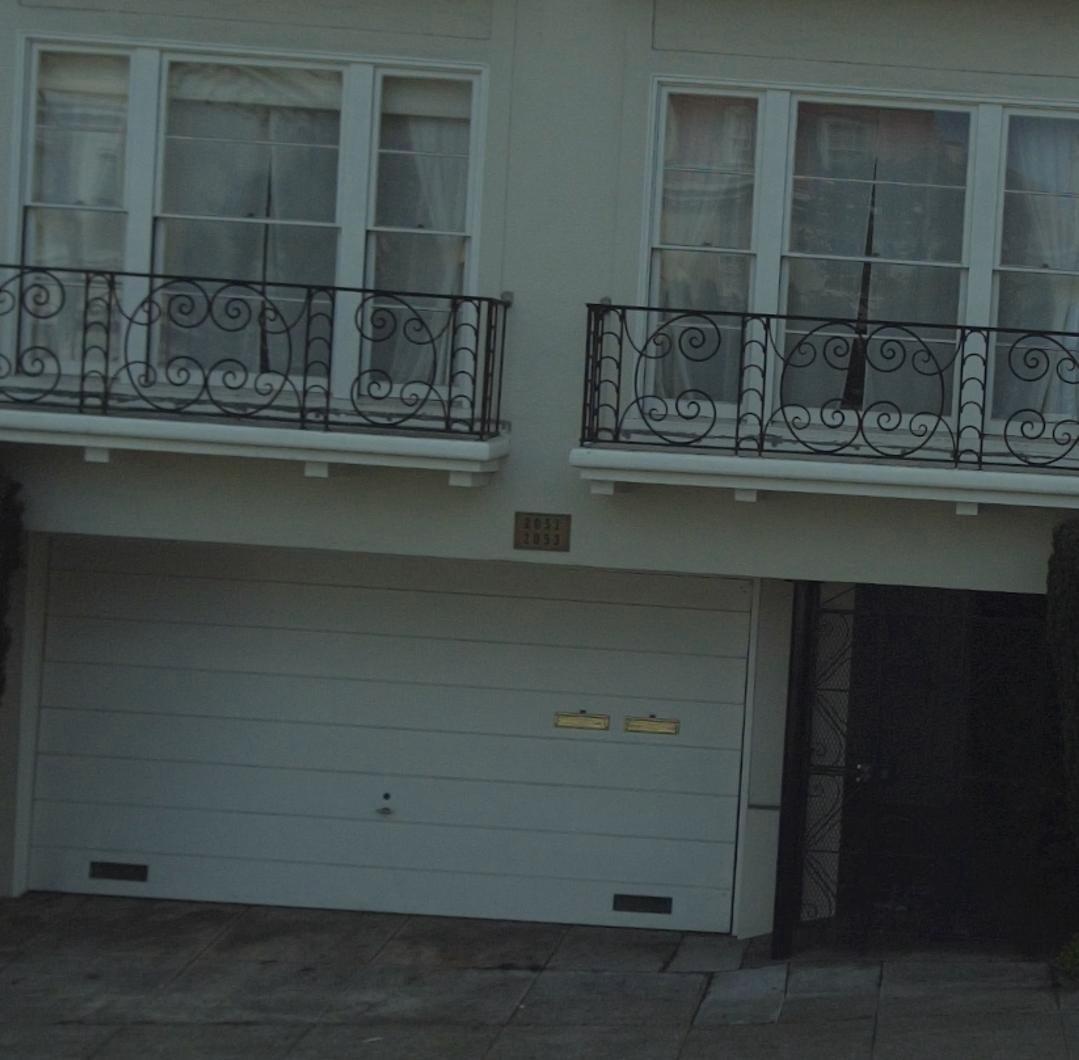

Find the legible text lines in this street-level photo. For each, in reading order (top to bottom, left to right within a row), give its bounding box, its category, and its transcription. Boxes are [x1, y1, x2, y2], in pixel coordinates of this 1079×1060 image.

[520, 515, 563, 533] StreetNumber: 2051
[520, 531, 563, 549] StreetNumber: 2053